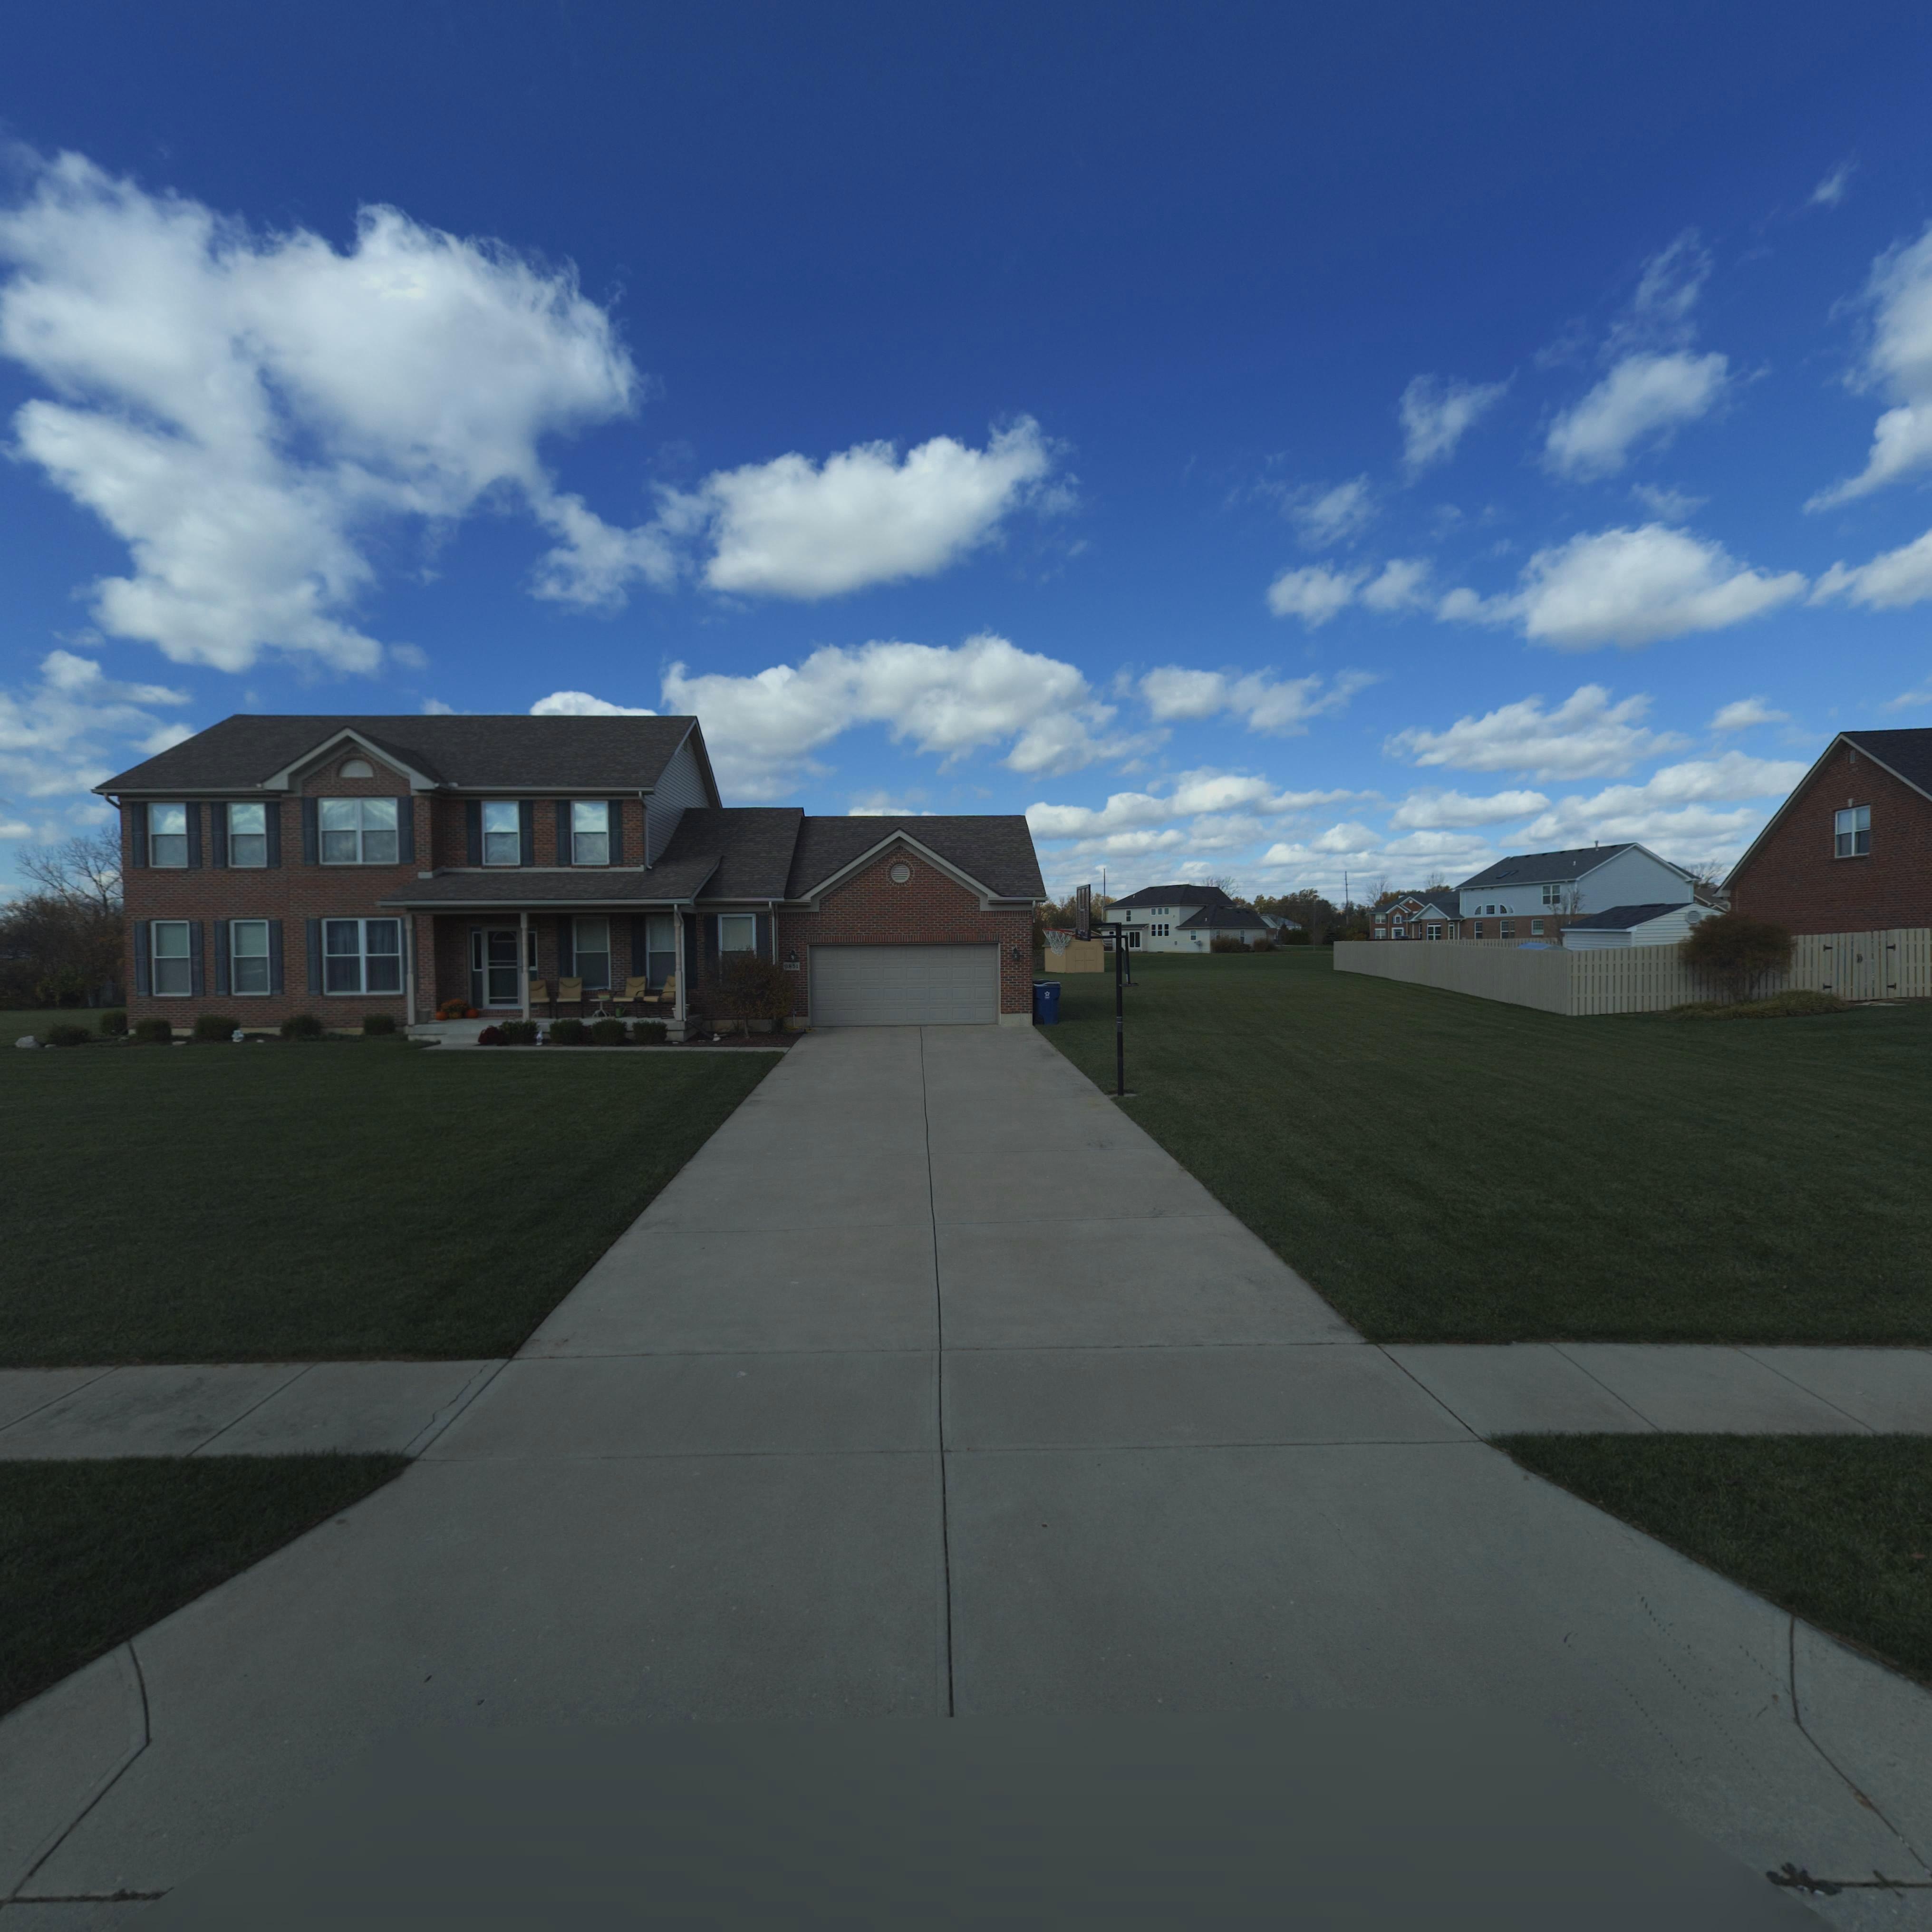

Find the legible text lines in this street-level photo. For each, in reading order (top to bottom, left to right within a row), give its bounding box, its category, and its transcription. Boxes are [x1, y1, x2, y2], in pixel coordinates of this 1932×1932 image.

[783, 963, 799, 969] StreetNumber: *851